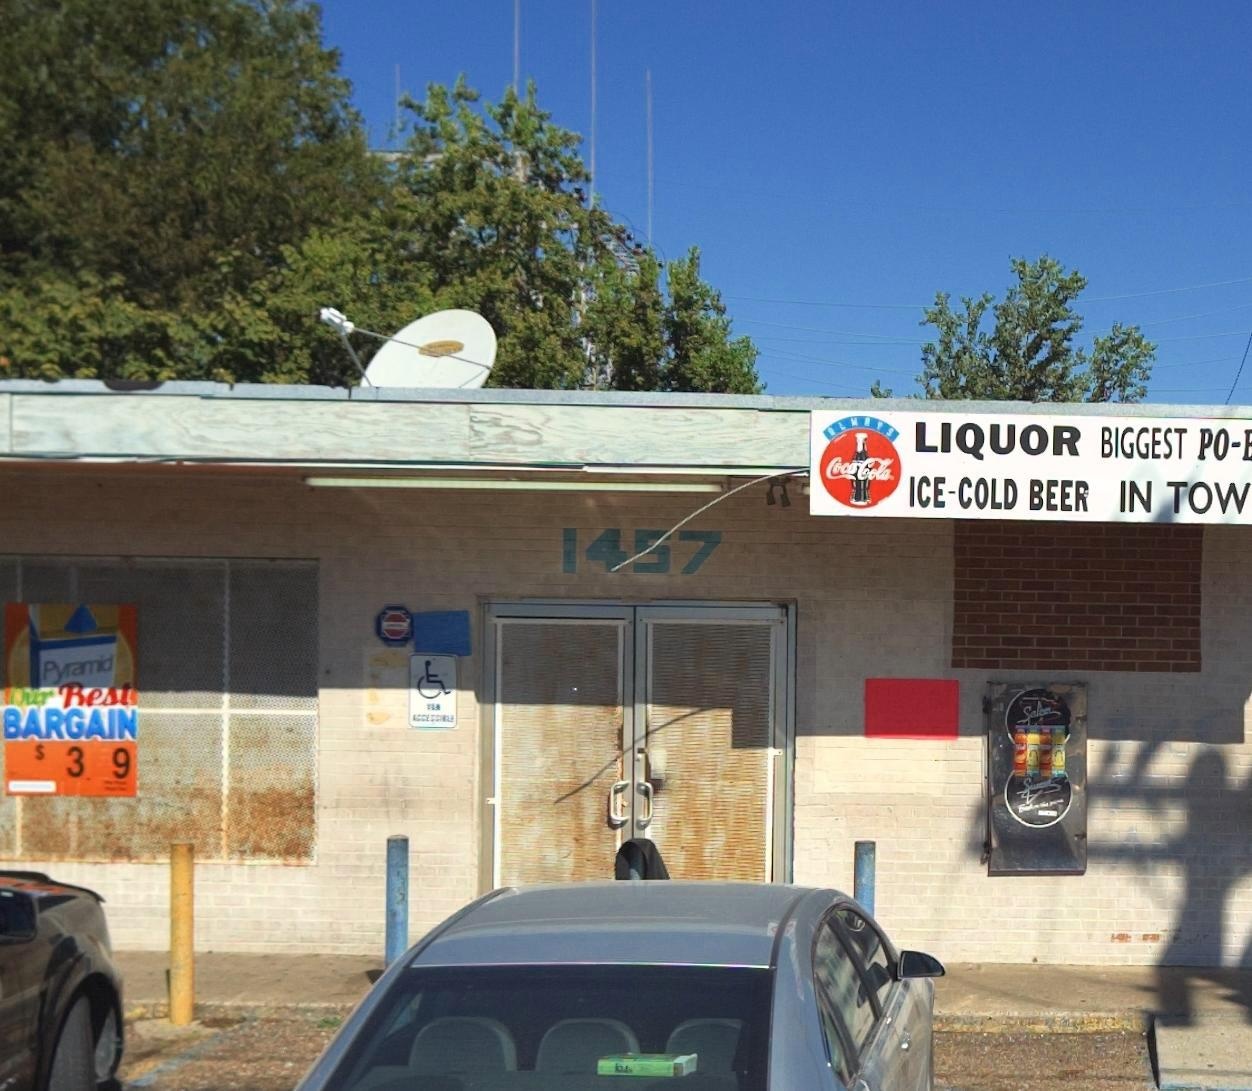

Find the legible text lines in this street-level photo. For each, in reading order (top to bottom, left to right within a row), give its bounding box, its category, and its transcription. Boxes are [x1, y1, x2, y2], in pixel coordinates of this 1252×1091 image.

[912, 419, 1232, 463] None: LIQUOR BIGGEST PO
[823, 453, 896, 483] None: C*c*Cola
[907, 472, 1252, 517] None: ICE-COLD BEER IN TOW
[560, 524, 726, 579] StreetNumber: 14*7
[40, 649, 116, 688] None: Pyramid
[8, 678, 134, 710] None: Our Rest
[2, 706, 140, 742] None: BARGAIN
[63, 743, 134, 782] None: 3. 9